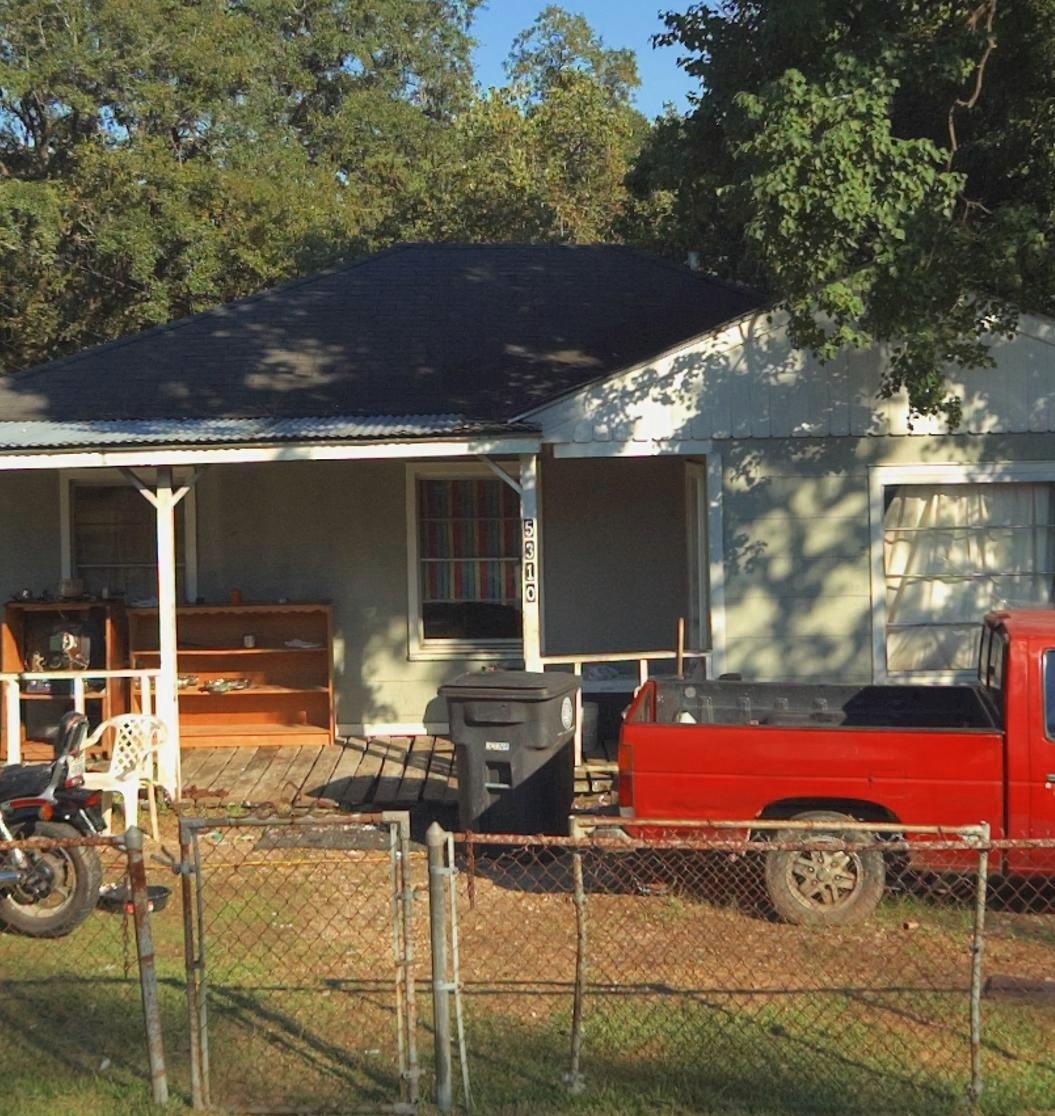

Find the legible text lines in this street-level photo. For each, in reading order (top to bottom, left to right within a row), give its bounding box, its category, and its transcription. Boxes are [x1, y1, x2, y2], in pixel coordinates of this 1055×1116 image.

[524, 518, 535, 602] StreetNumber: 5310